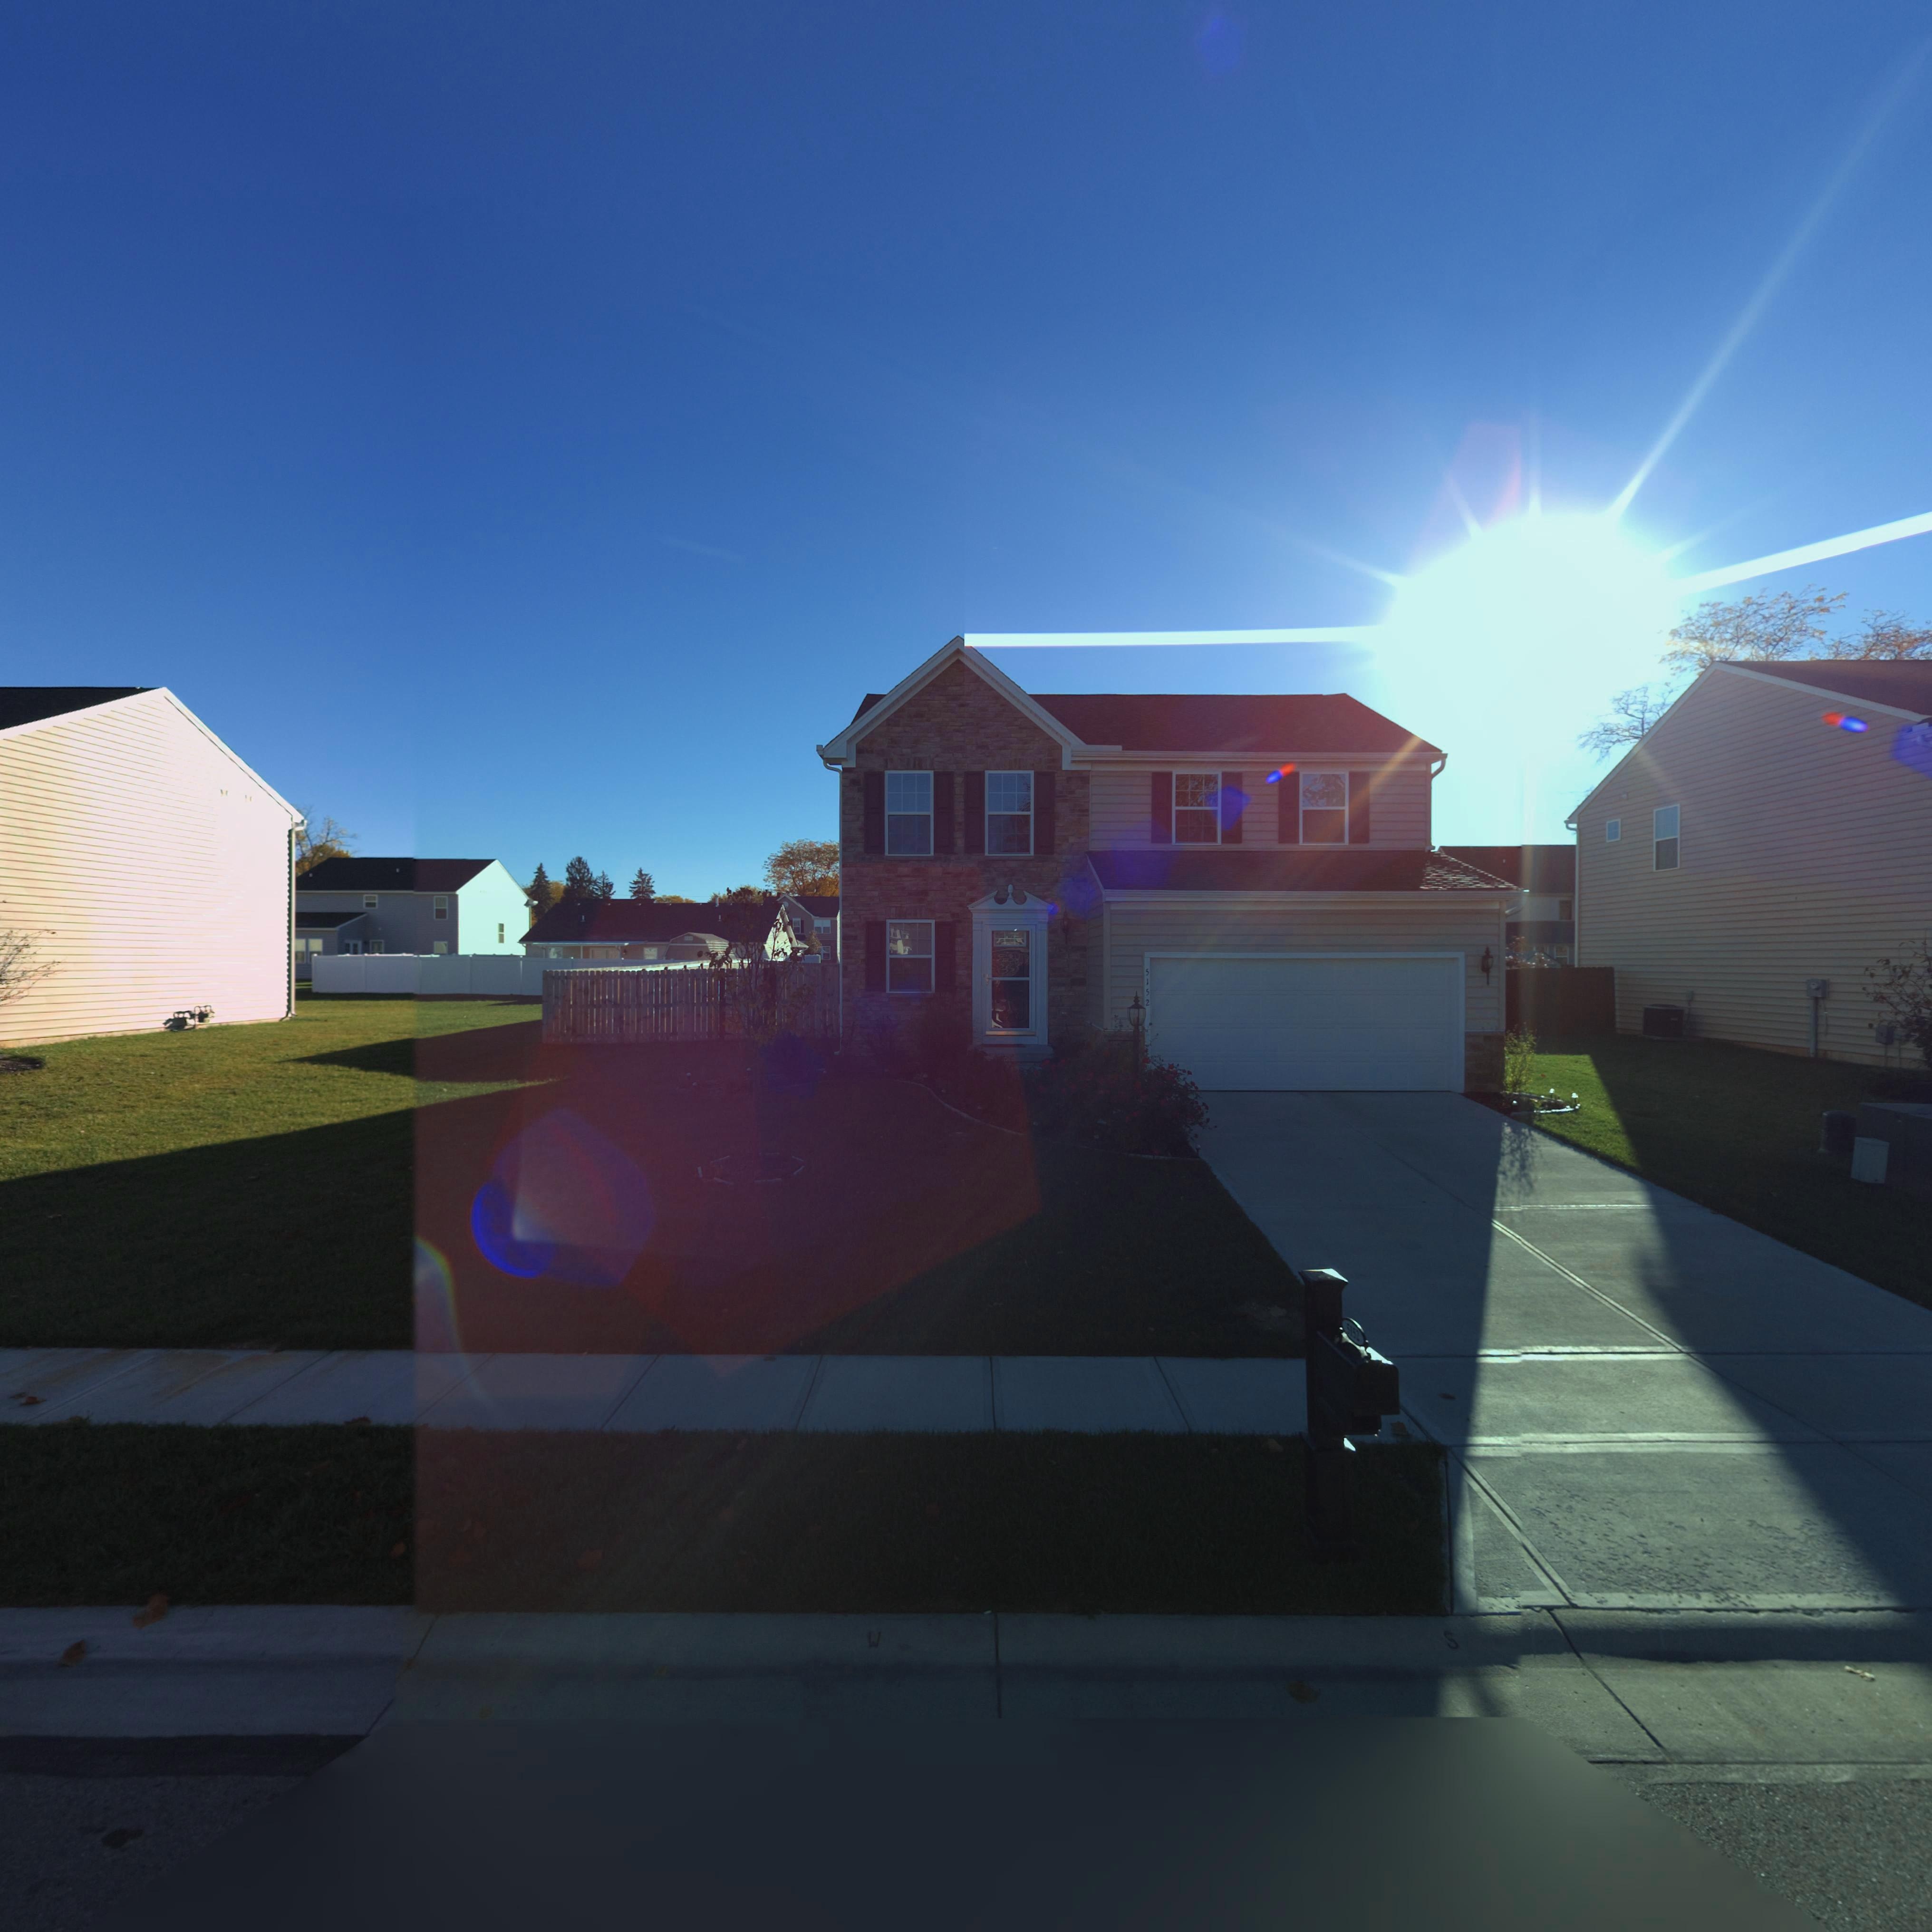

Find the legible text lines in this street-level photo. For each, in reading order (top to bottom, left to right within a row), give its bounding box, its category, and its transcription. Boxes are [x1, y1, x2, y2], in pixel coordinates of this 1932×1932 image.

[1145, 967, 1150, 1007] StreetNumber: 5152